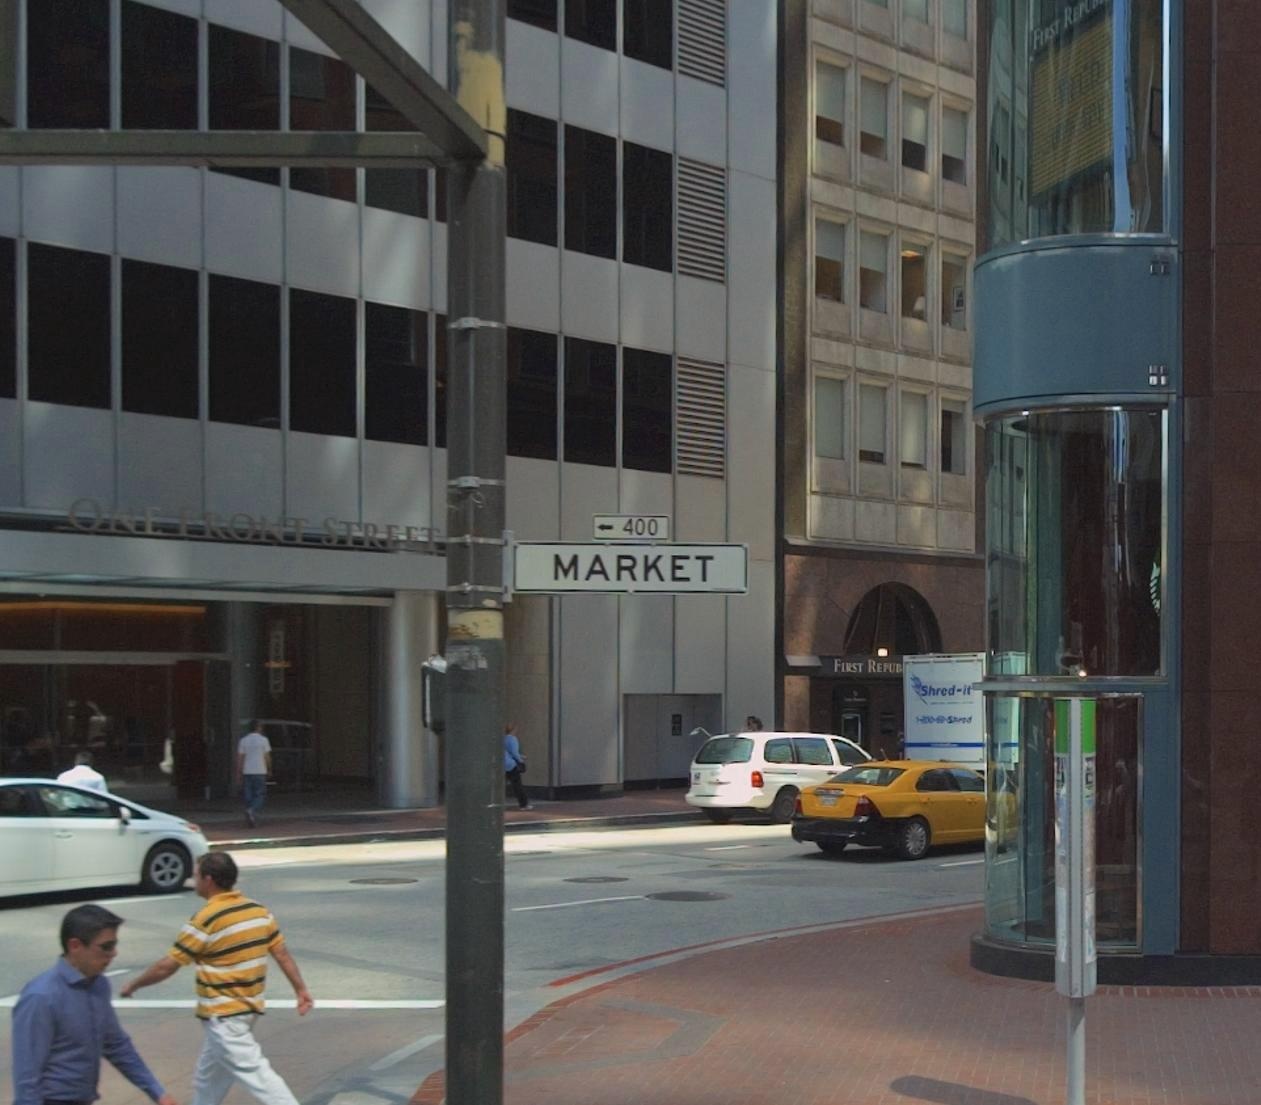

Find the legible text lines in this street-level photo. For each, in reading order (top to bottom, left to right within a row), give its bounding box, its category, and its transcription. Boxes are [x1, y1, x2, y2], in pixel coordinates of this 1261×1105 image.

[66, 494, 444, 555] None: ONE FRONT STREET
[595, 516, 660, 539] StreetNumberRange: <-400
[552, 551, 716, 584] StreetName: MARKET
[832, 657, 903, 676] BusinessName: First Repub
[920, 684, 975, 696] None: Shred-it
[913, 714, 975, 726] None: 1-800-**-Shred